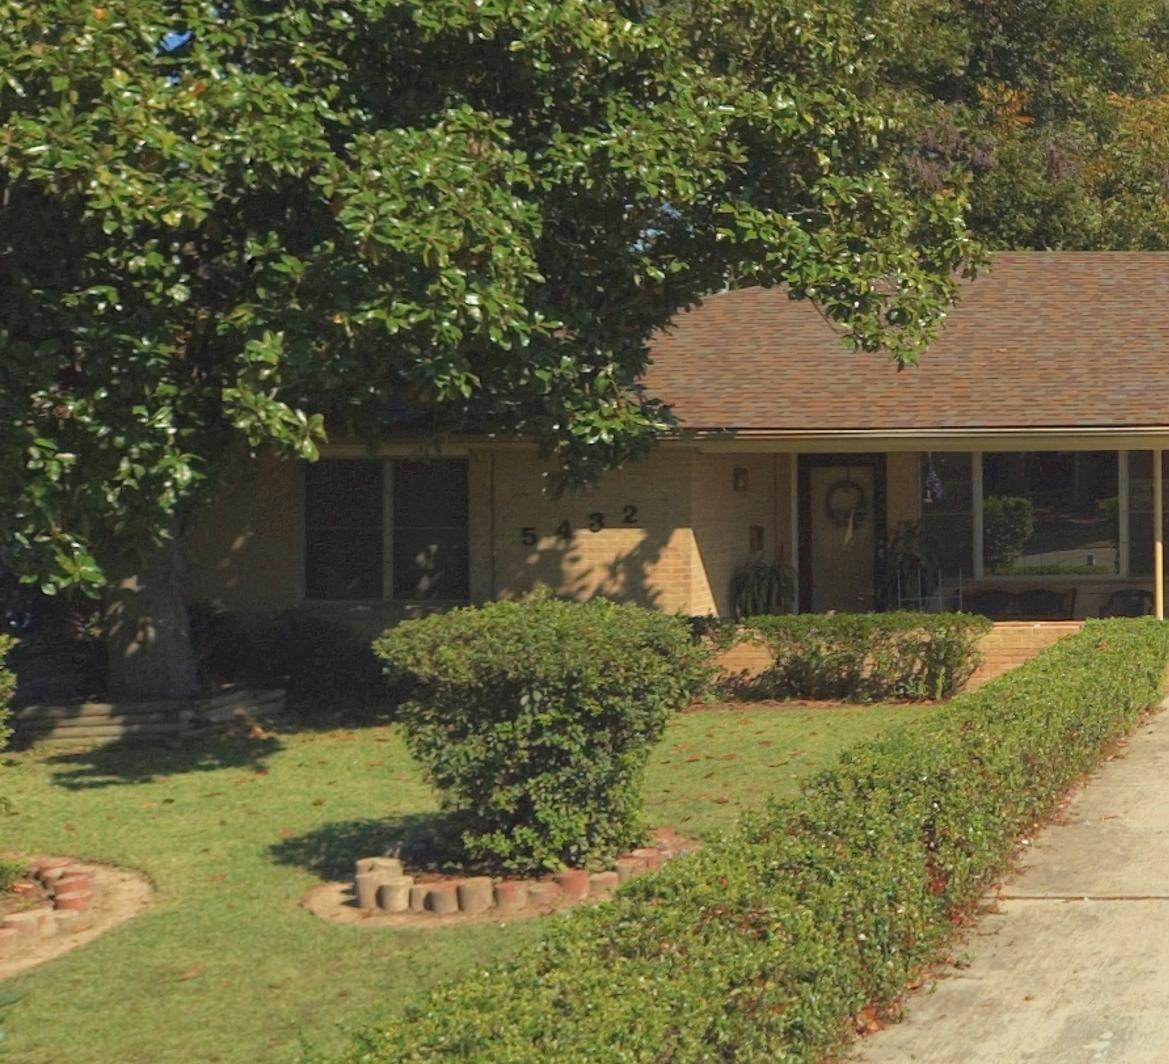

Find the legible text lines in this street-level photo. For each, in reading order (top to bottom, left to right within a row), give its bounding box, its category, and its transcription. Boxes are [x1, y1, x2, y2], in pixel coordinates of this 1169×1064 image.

[520, 504, 638, 547] StreetNumber: 5432